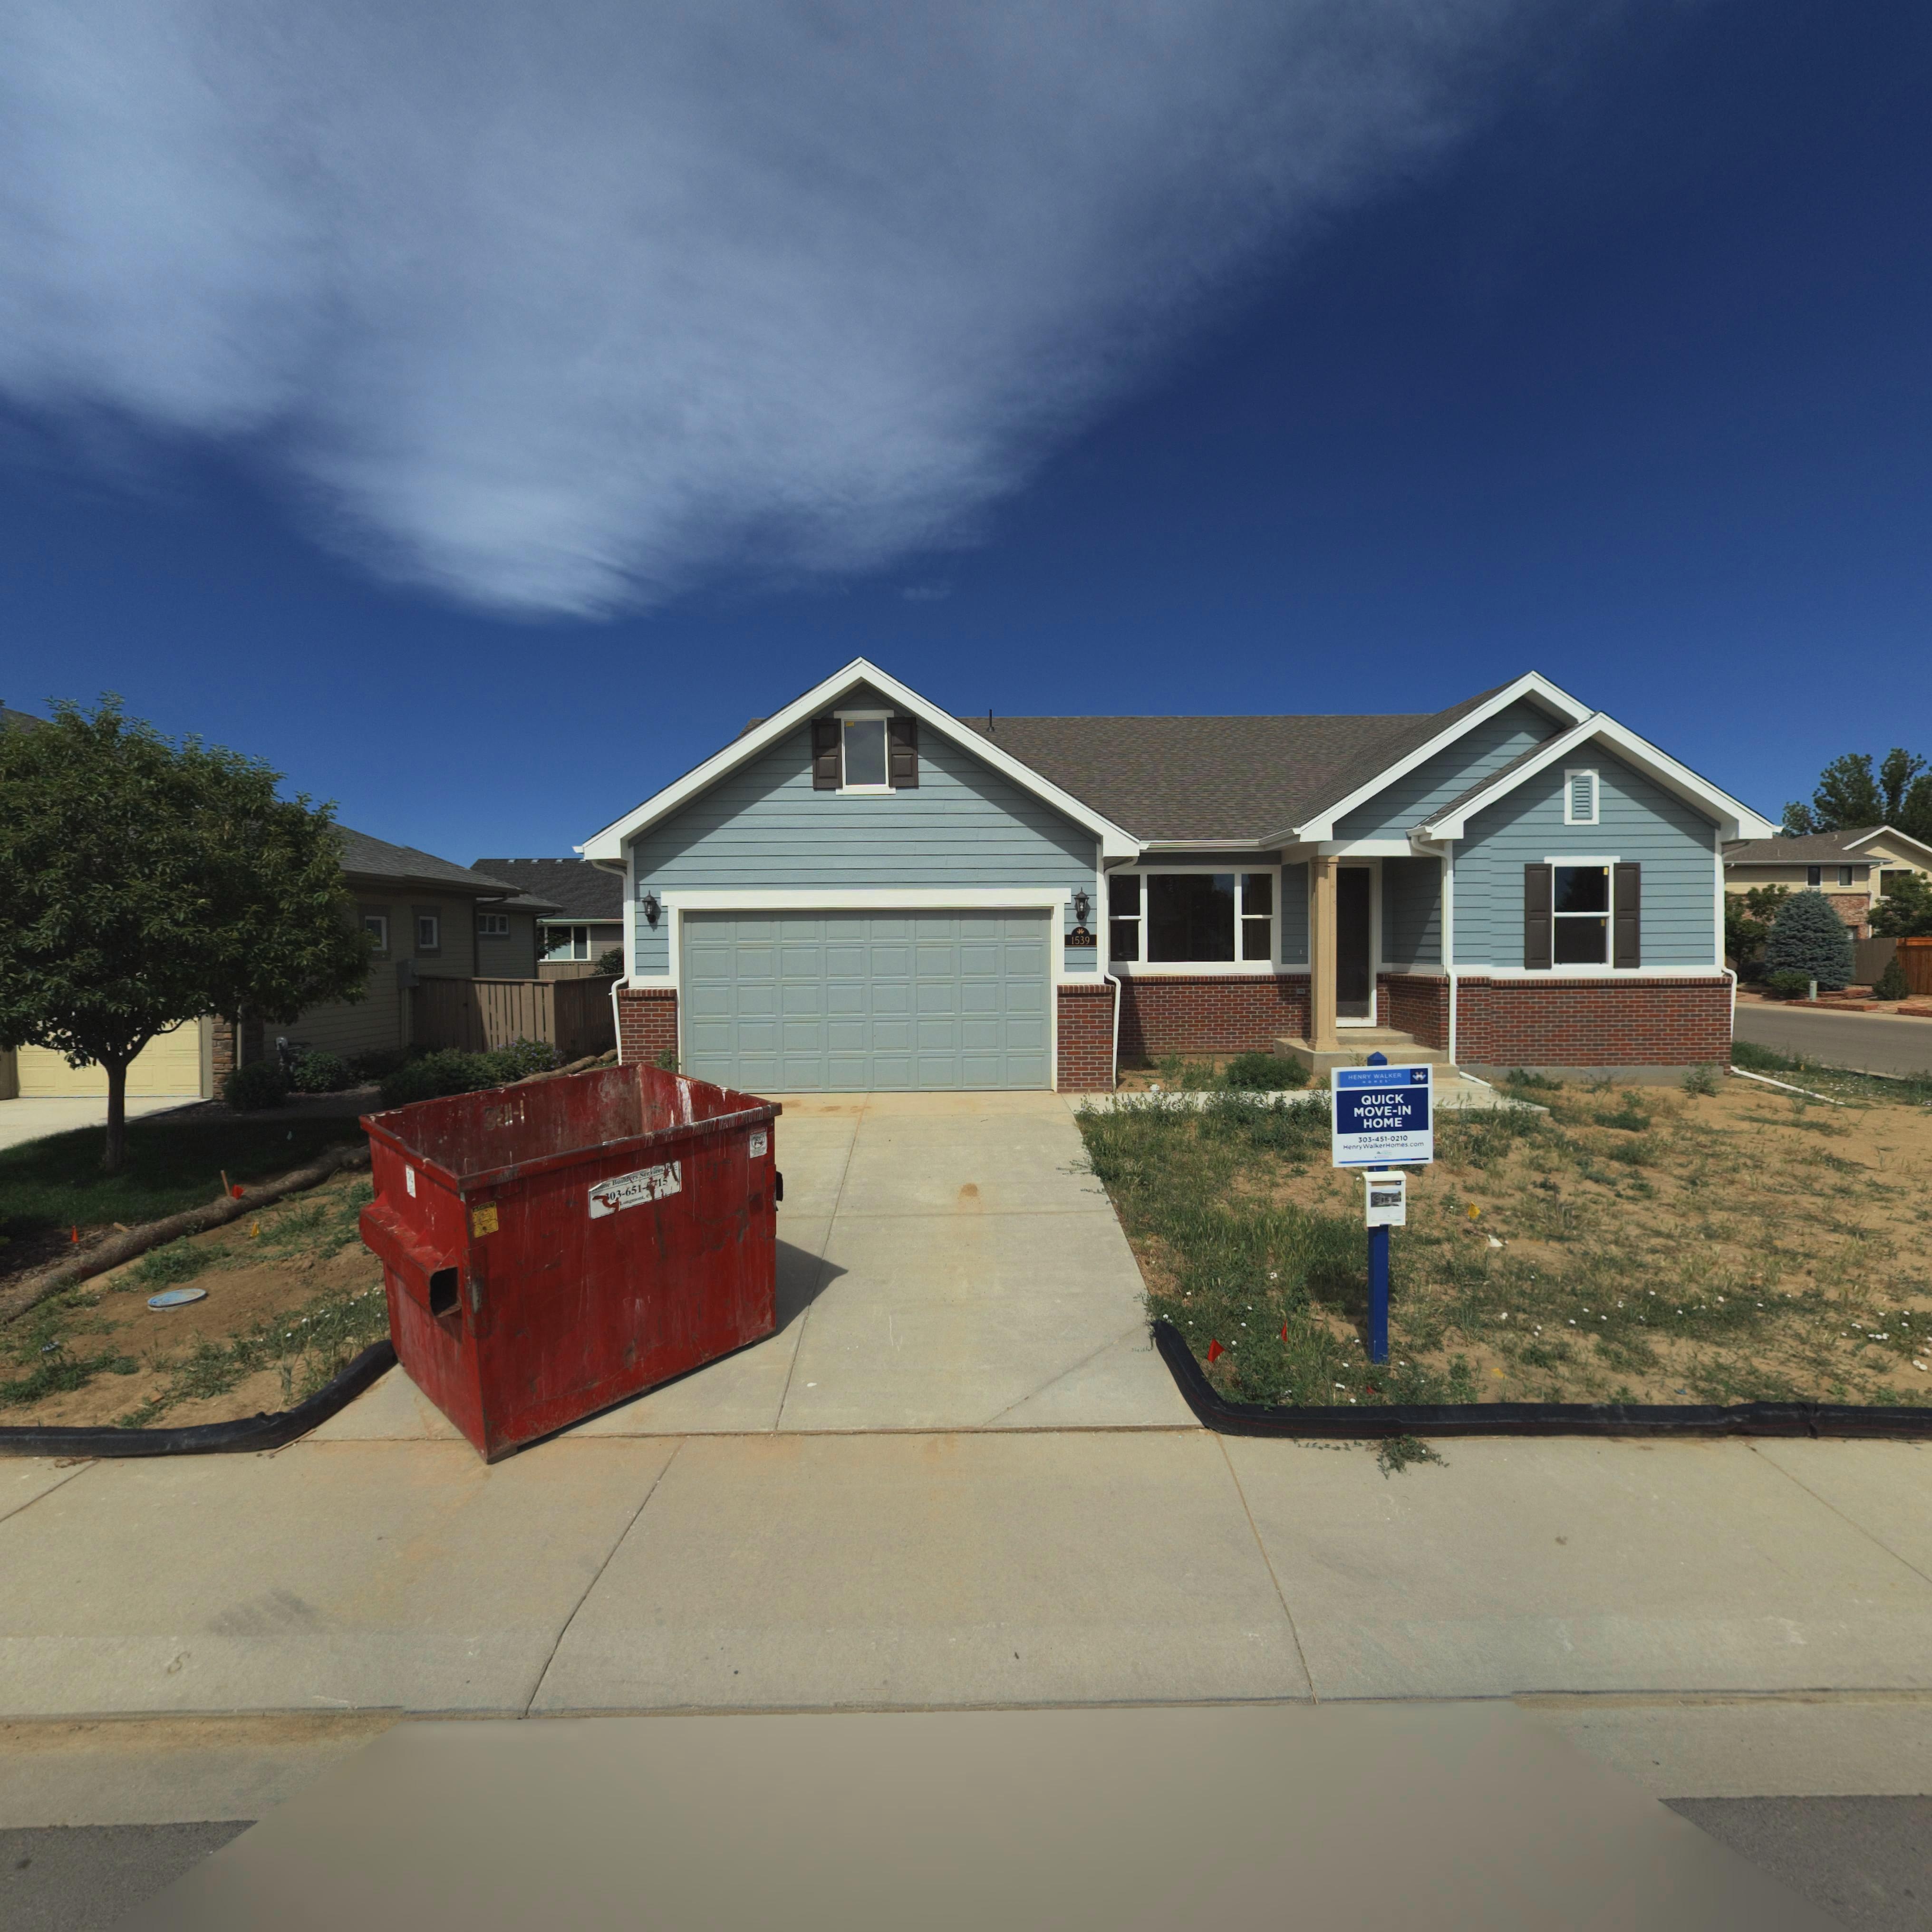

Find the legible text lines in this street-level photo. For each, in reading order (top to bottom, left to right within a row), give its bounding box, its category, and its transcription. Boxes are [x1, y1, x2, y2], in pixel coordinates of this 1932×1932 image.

[1071, 936, 1090, 945] StreetNumber: 1539